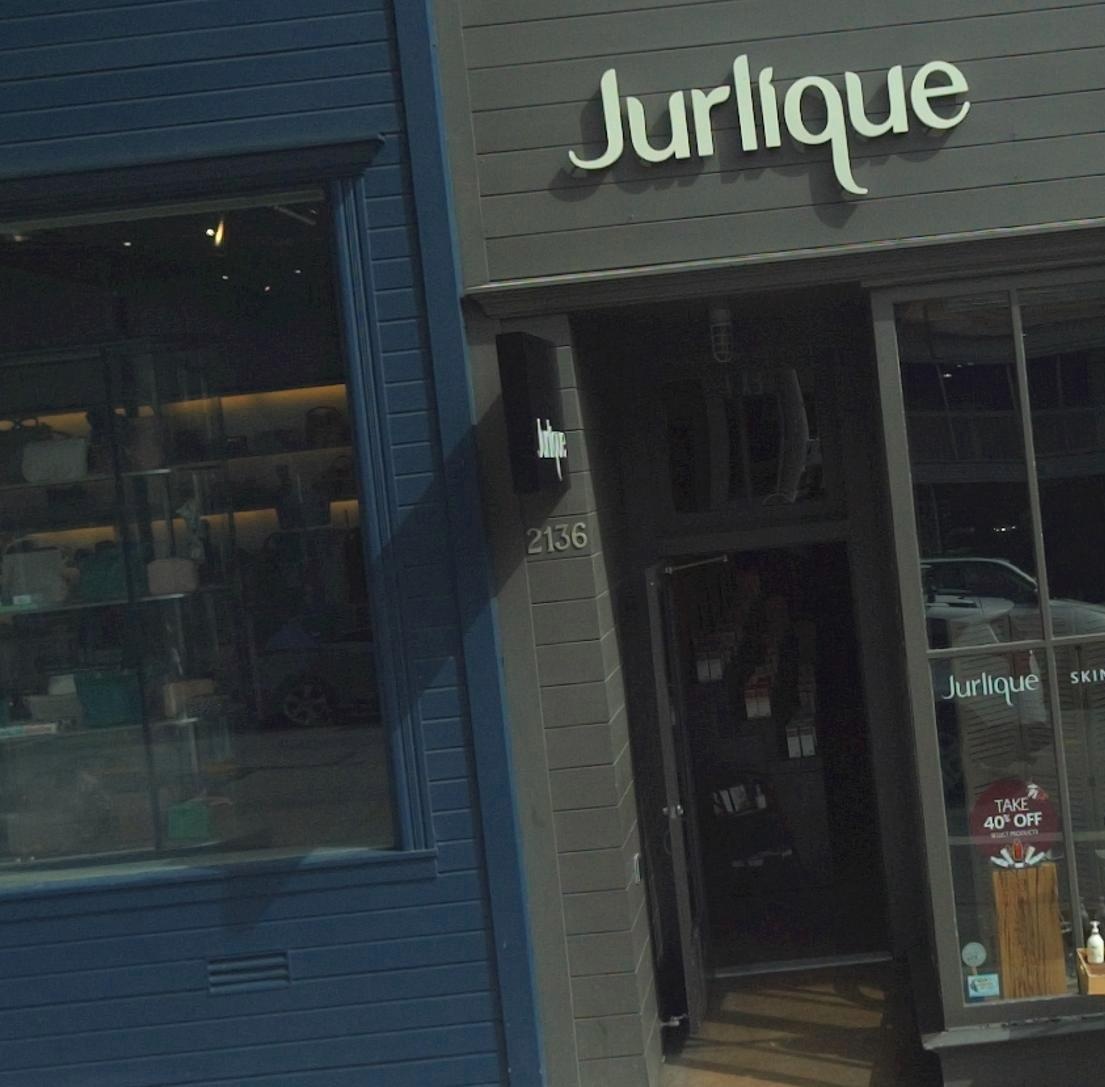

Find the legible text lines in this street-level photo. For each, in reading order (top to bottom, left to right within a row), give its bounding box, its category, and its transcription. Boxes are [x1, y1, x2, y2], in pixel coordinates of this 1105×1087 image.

[565, 50, 976, 199] BusinessName: Jurlique
[523, 518, 591, 559] StreetNumber: 2136
[937, 669, 1044, 710] BusinessName: Jurlique
[1067, 666, 1100, 688] None: SKI
[990, 794, 1032, 815] None: TAKE
[980, 808, 1045, 833] None: 40 OFF